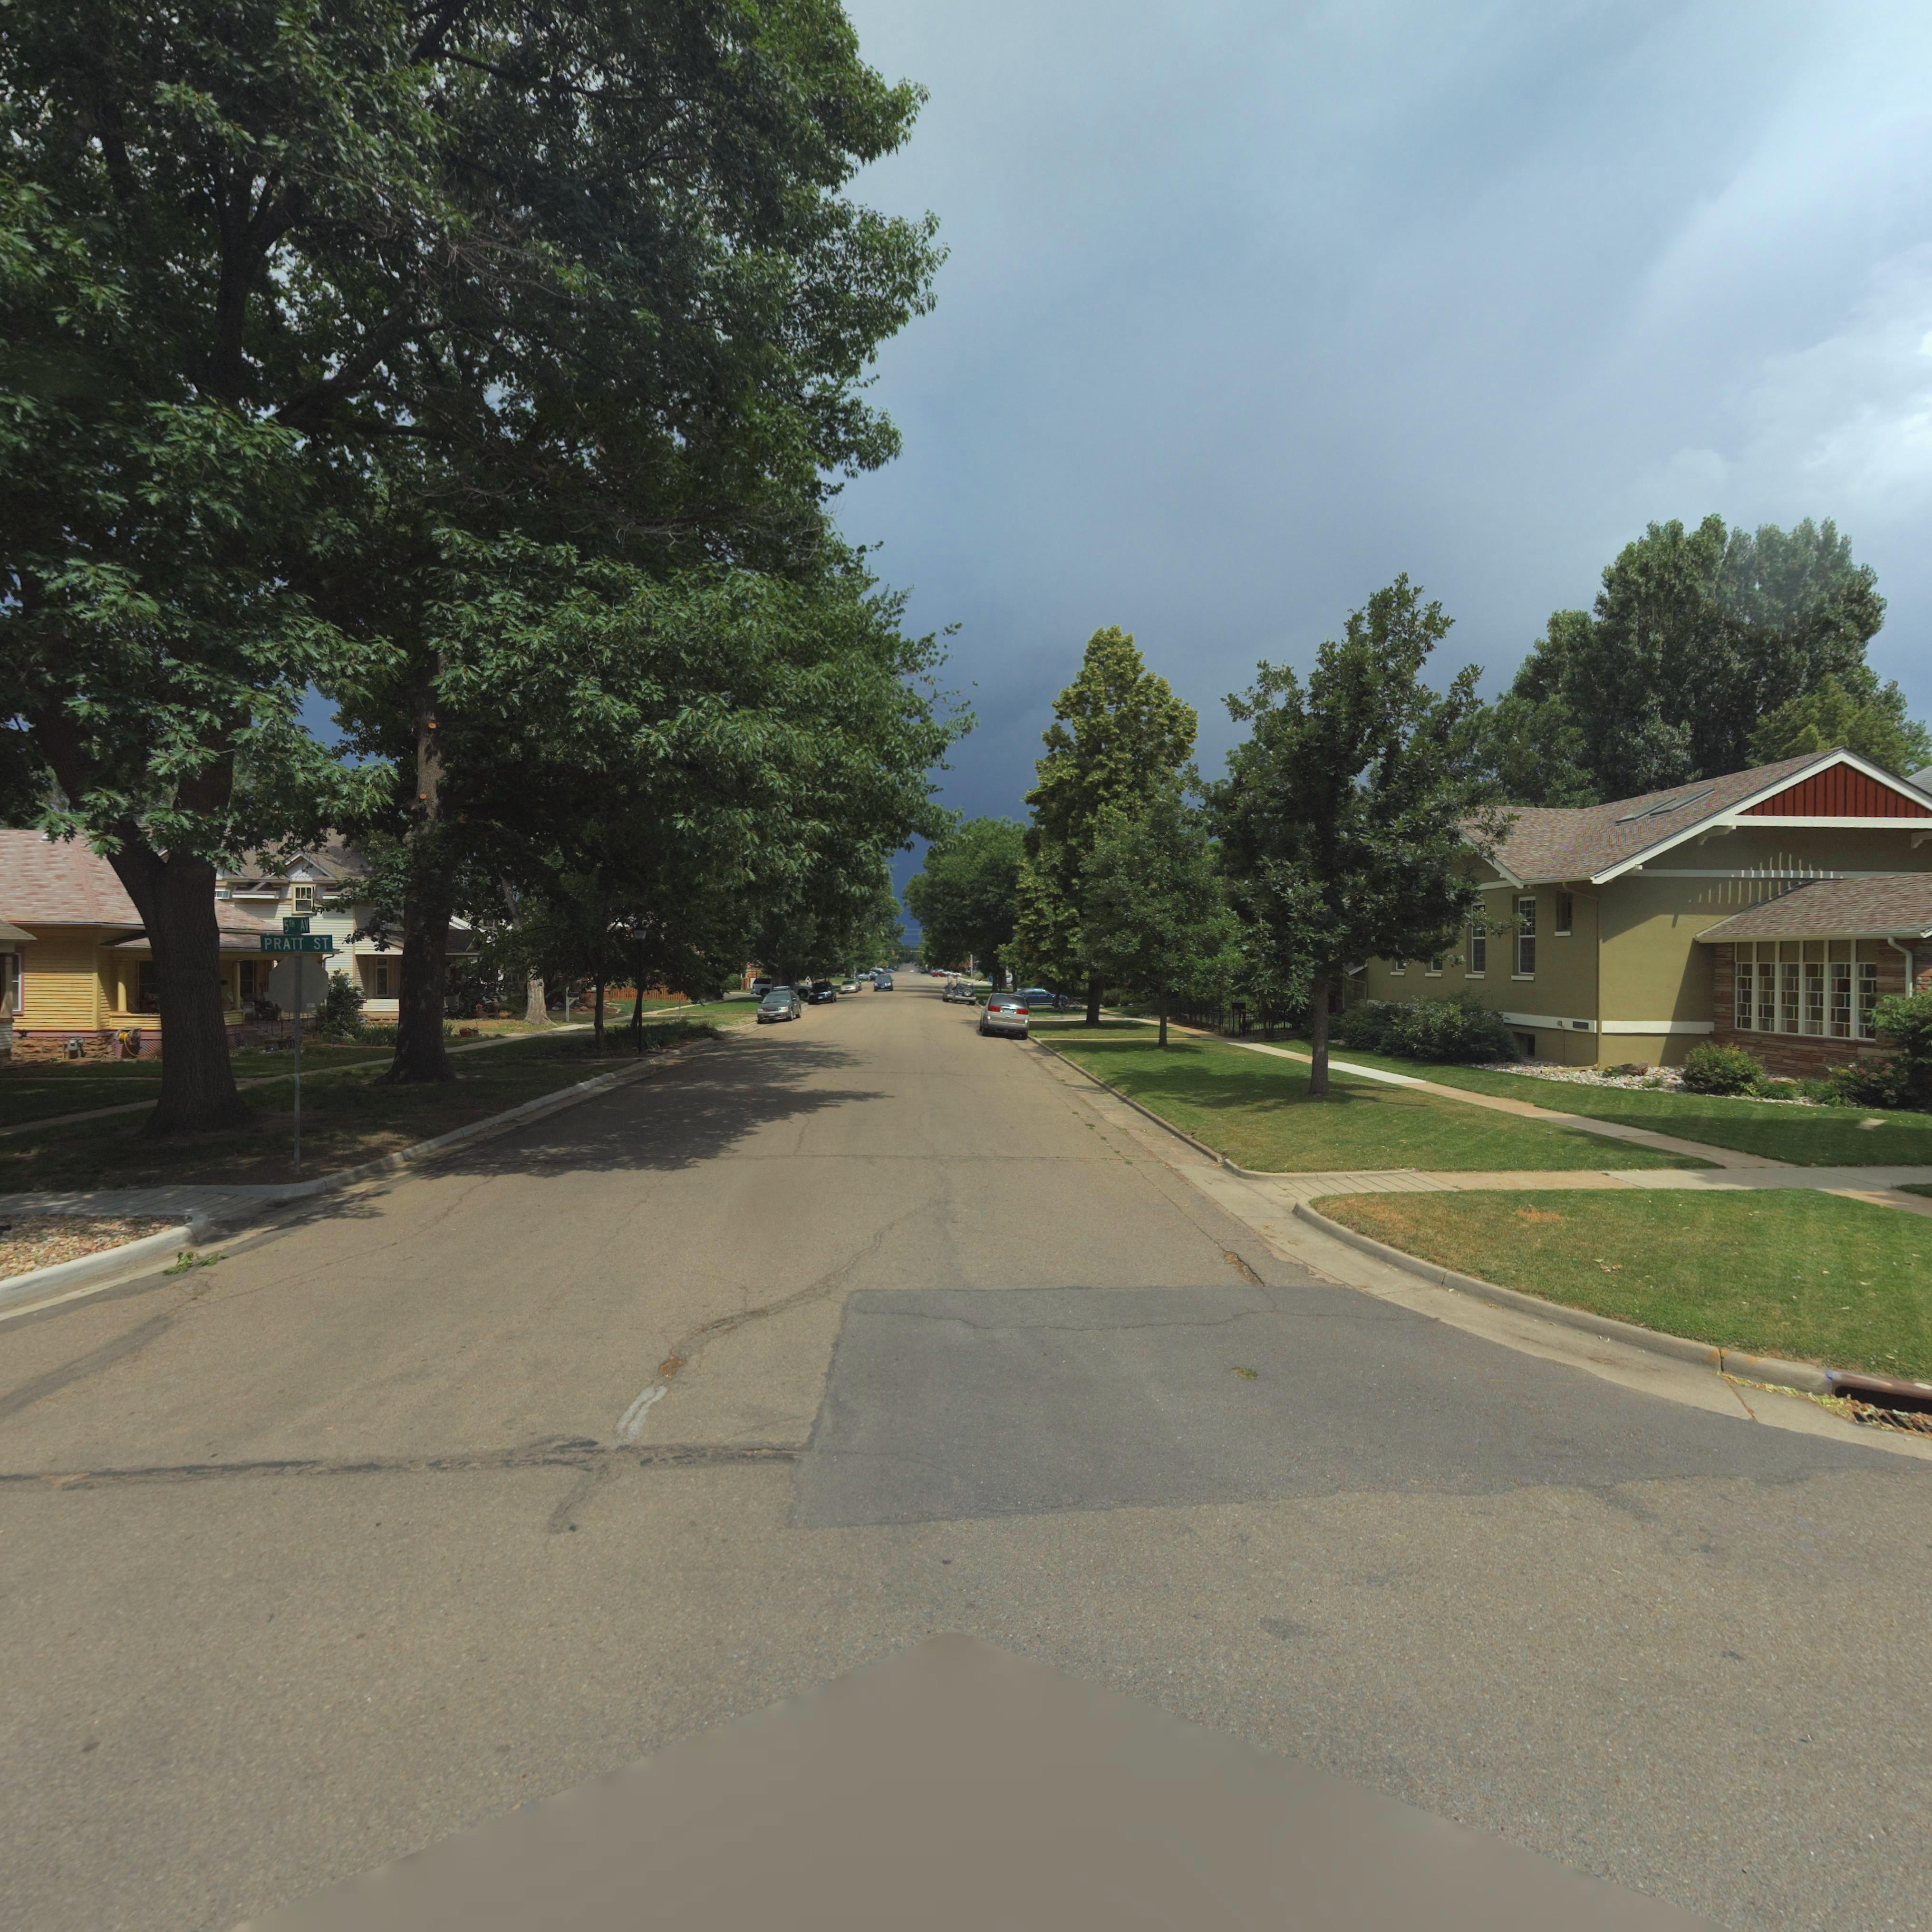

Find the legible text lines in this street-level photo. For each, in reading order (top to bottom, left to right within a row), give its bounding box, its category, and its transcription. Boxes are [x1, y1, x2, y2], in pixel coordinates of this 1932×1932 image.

[284, 918, 309, 932] StreetName: 5TH AV
[264, 937, 328, 950] StreetName: PRATT ST